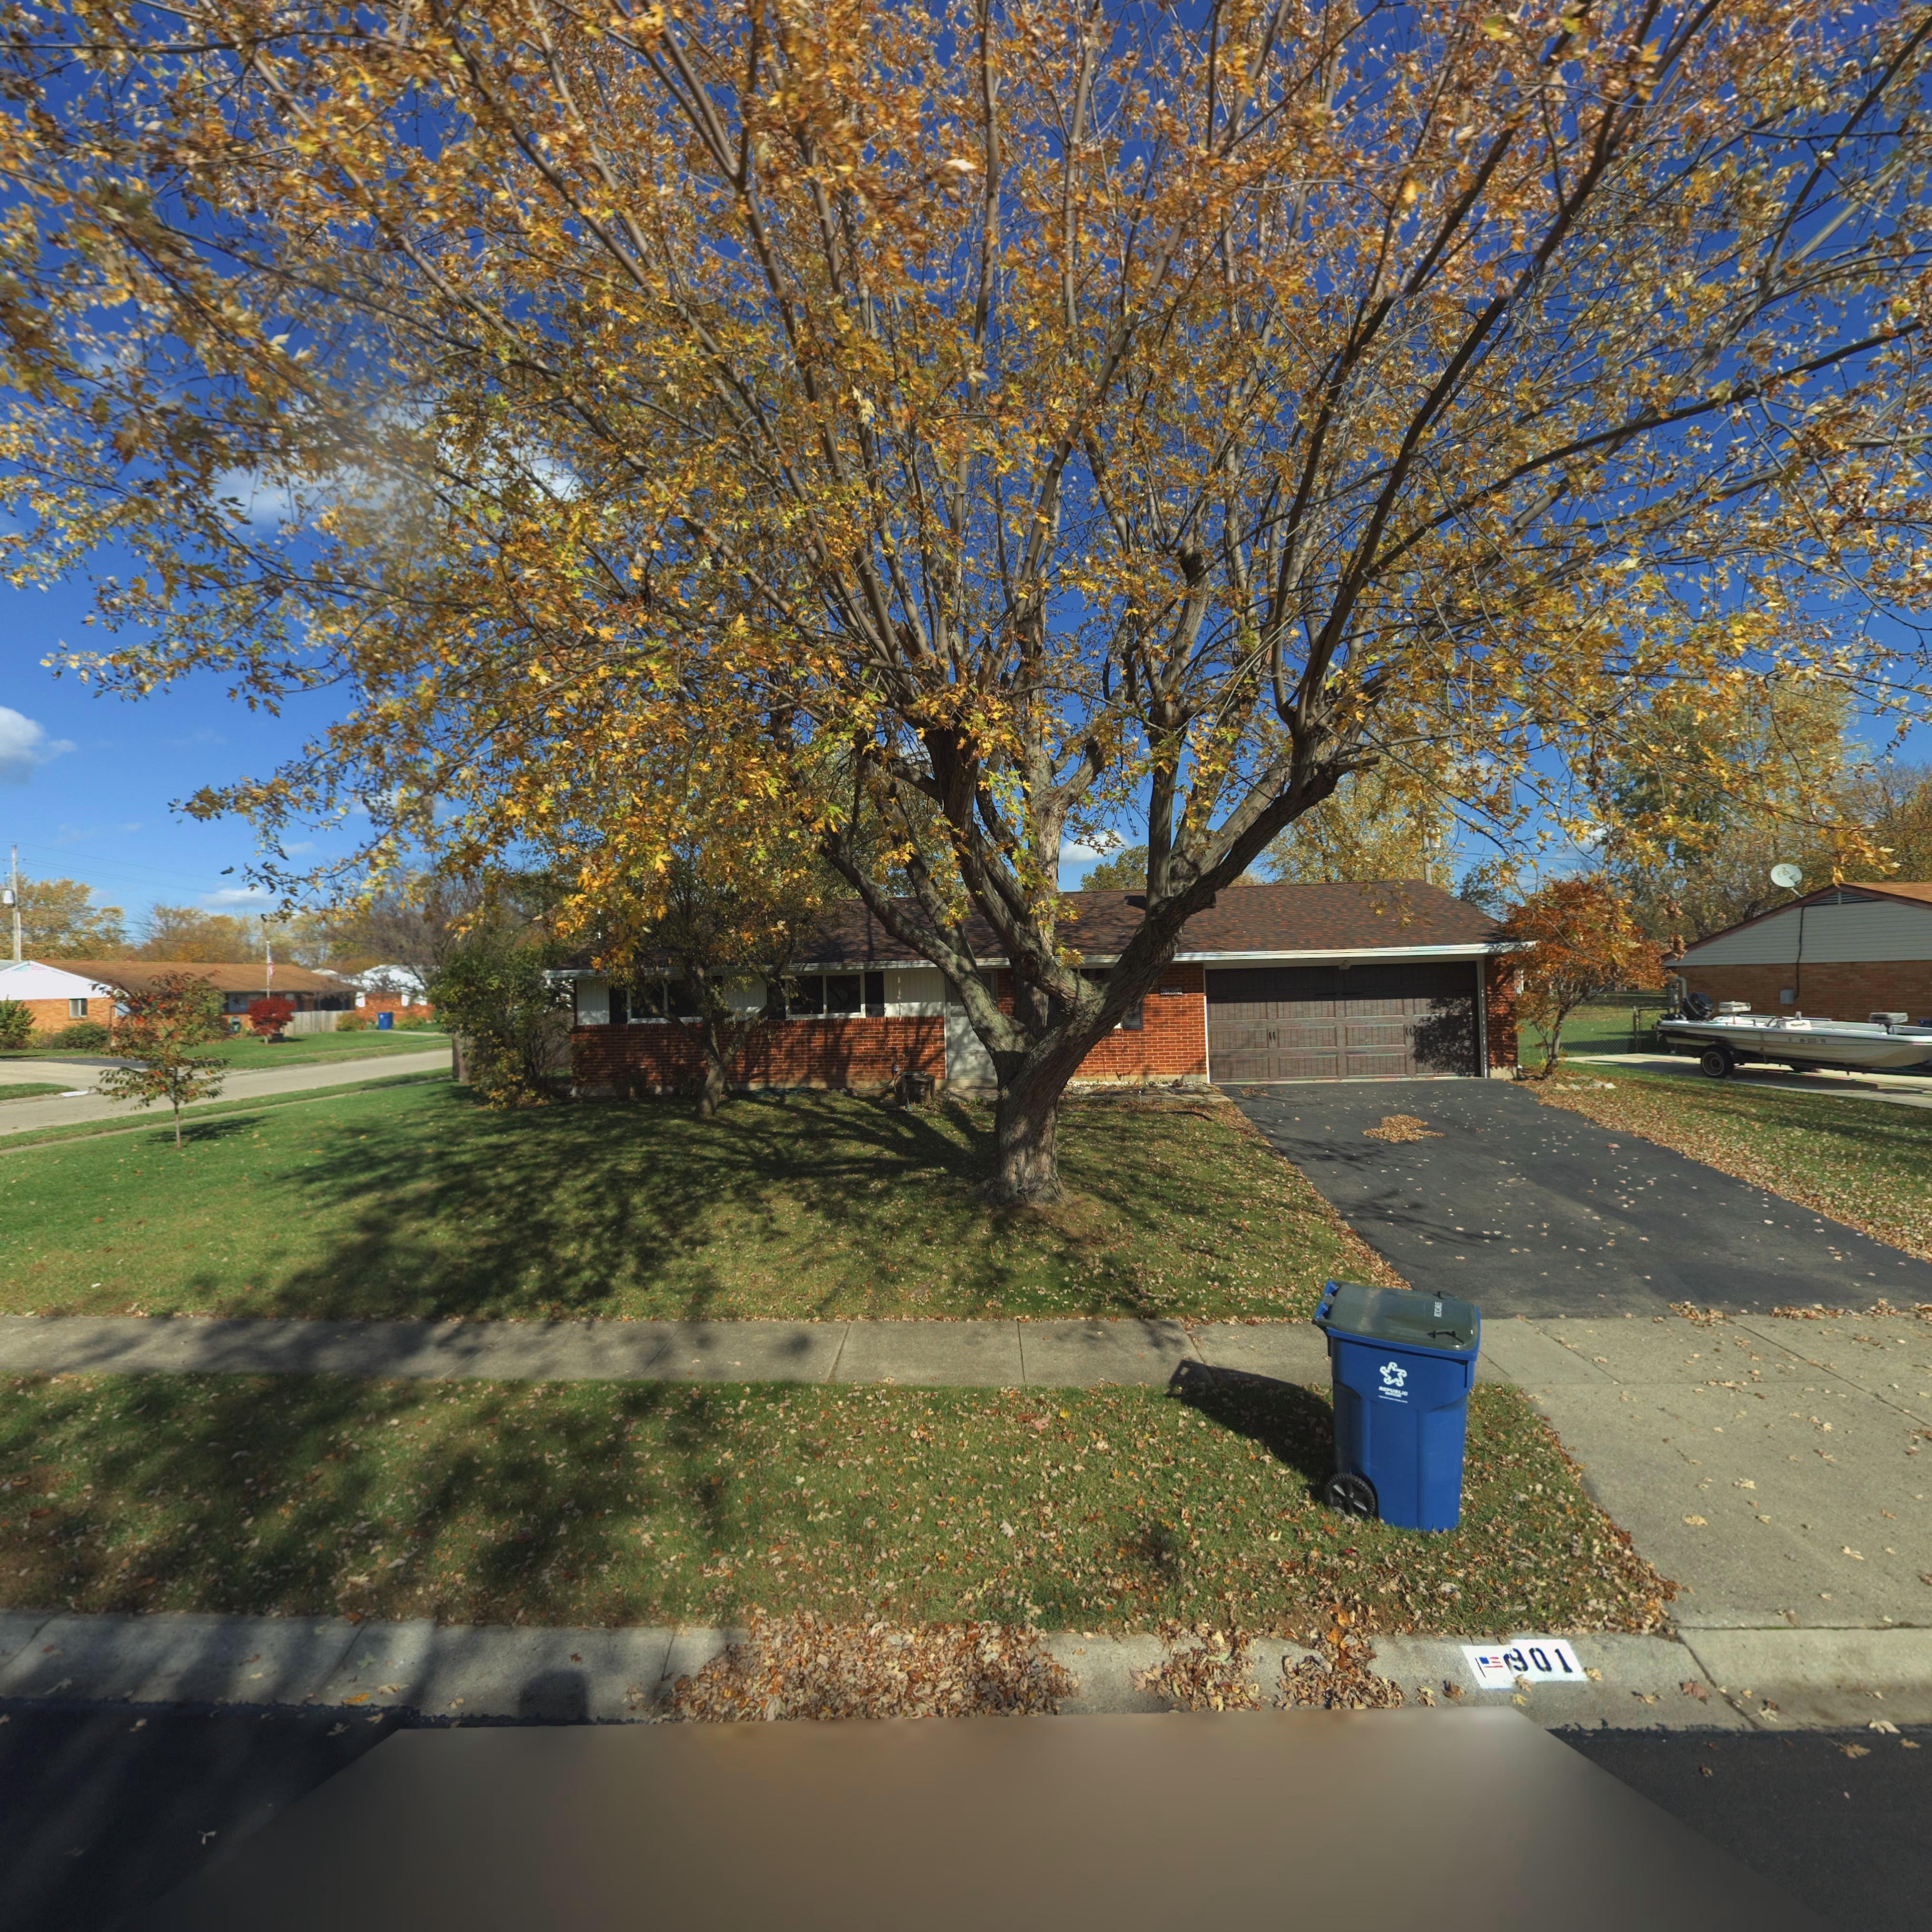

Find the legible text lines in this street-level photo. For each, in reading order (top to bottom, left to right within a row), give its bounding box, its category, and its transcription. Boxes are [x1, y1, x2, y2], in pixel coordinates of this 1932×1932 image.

[1160, 986, 1182, 996] StreetNumber: 6***
[1500, 1644, 1578, 1683] StreetNumber: *01